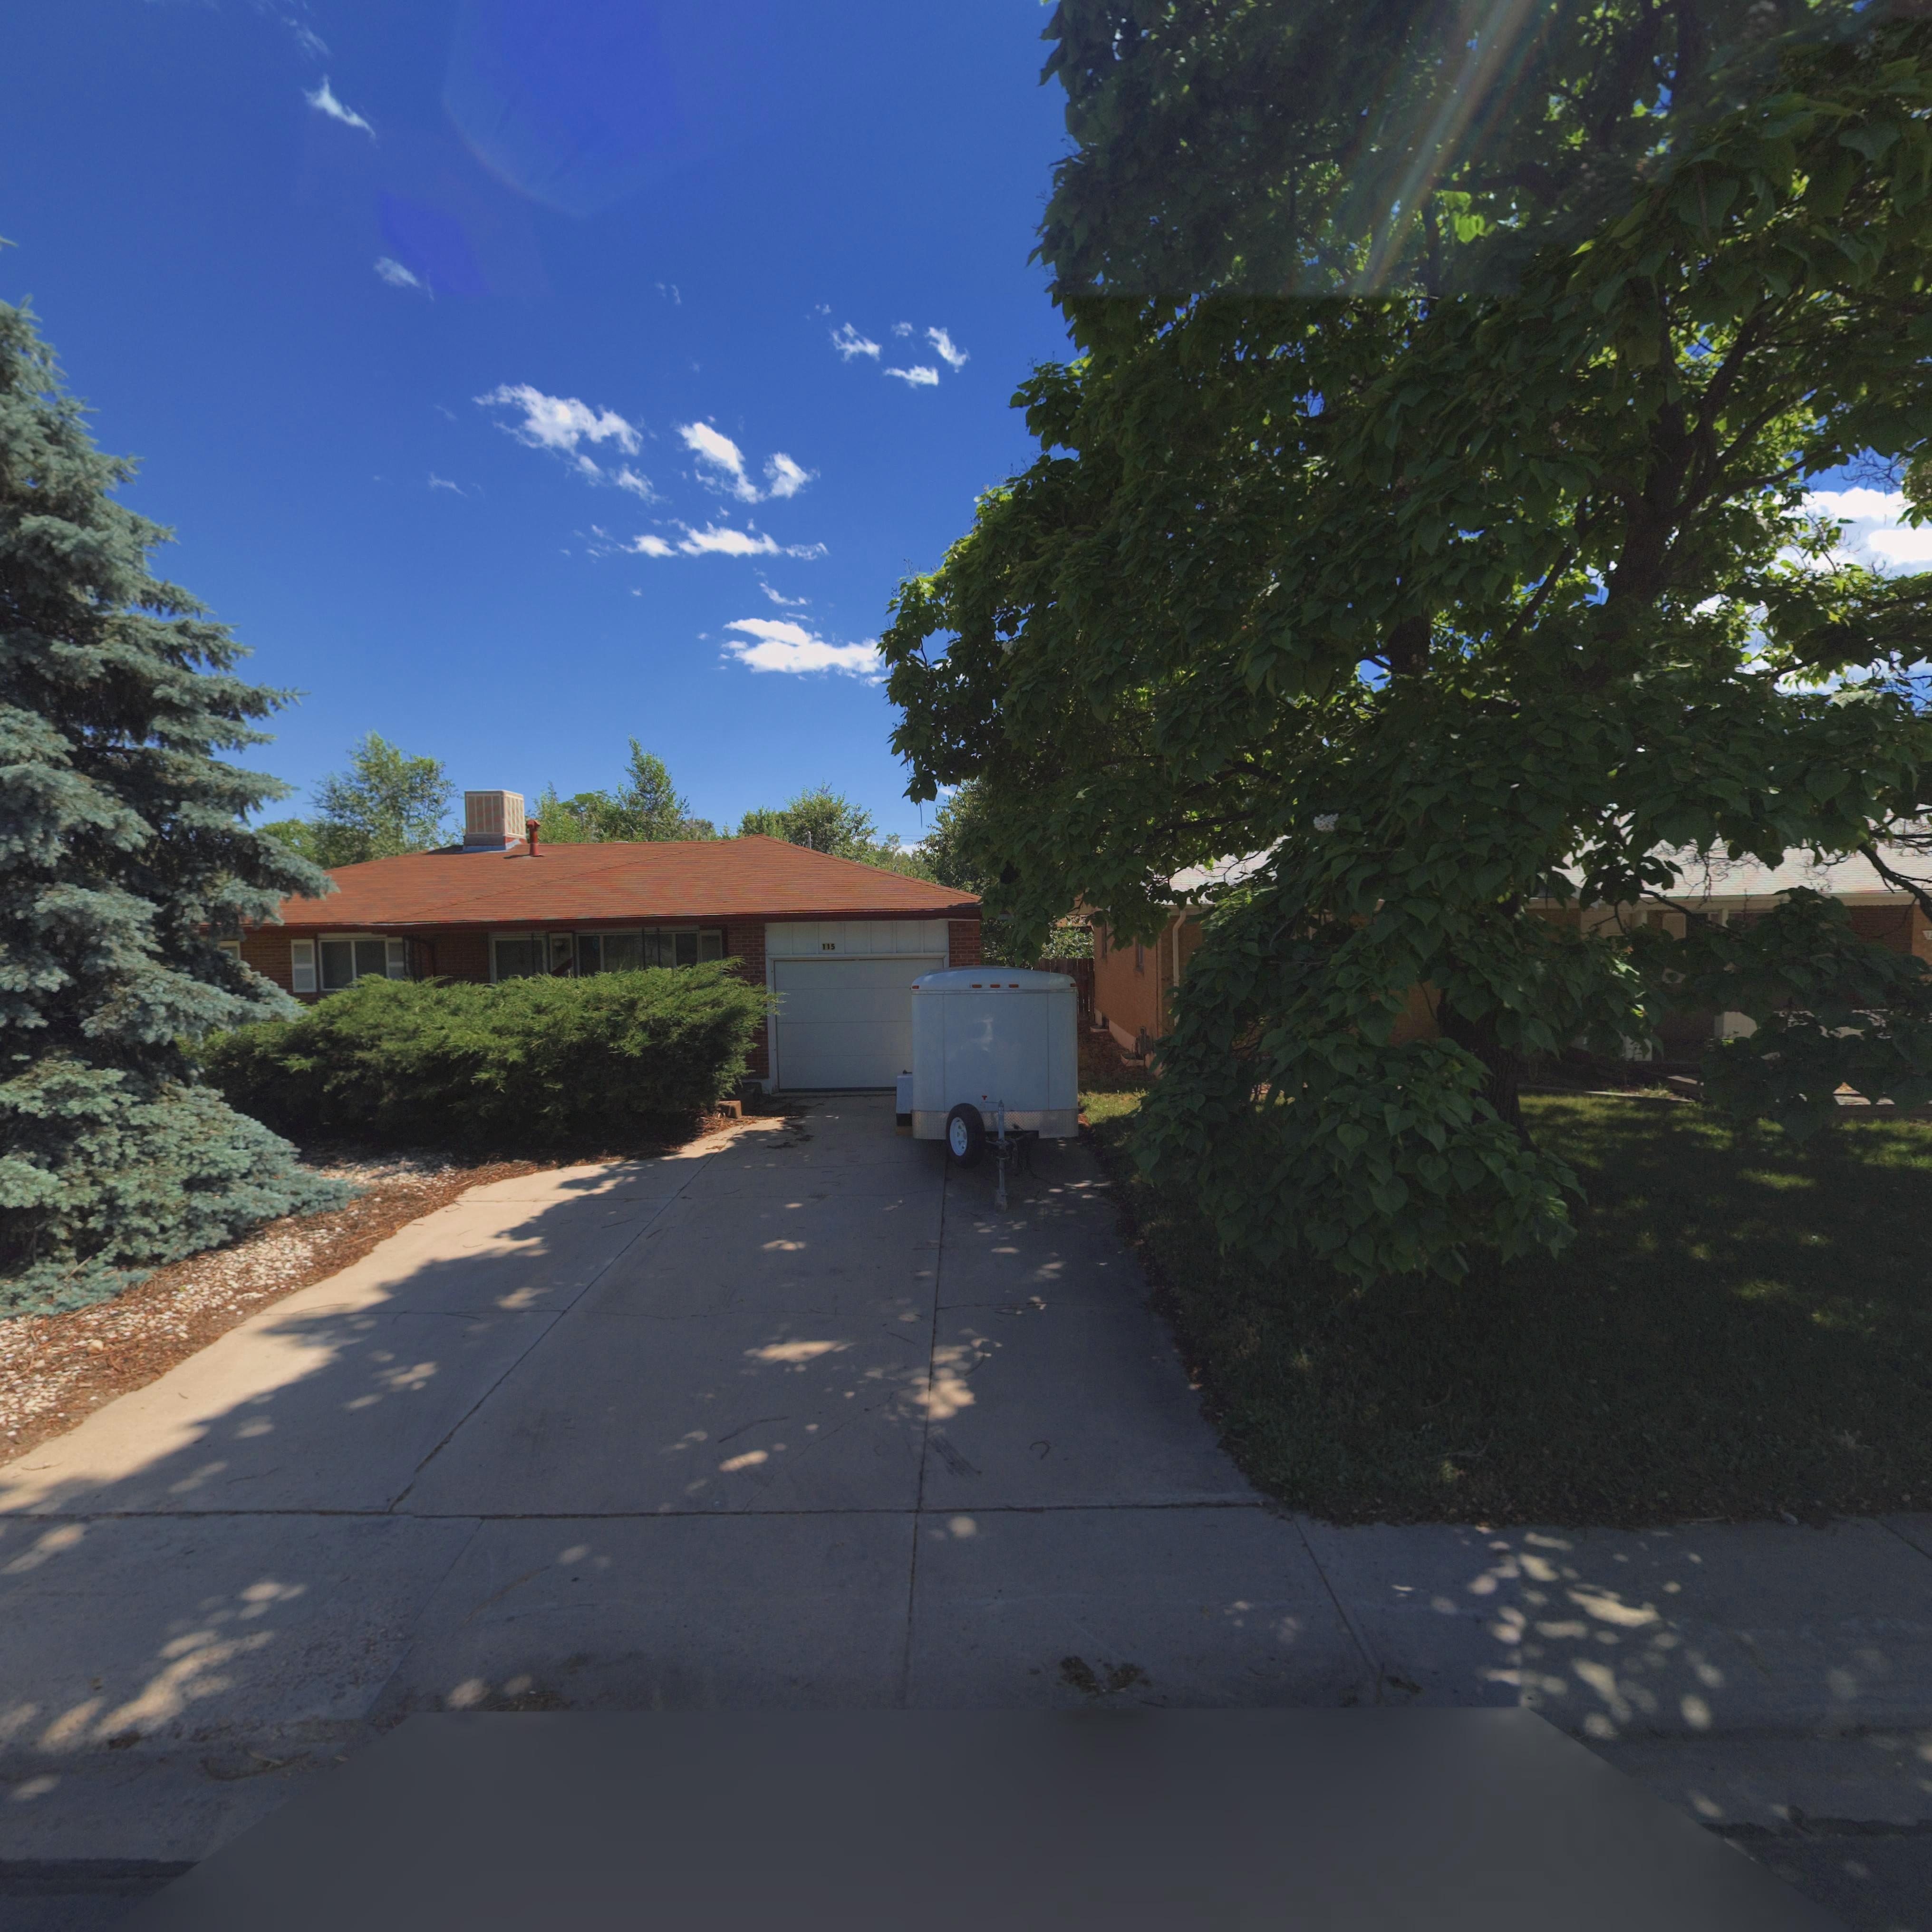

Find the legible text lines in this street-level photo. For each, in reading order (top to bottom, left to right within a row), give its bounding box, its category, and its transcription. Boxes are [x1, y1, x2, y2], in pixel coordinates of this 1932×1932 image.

[822, 944, 835, 950] StreetNumber: 115